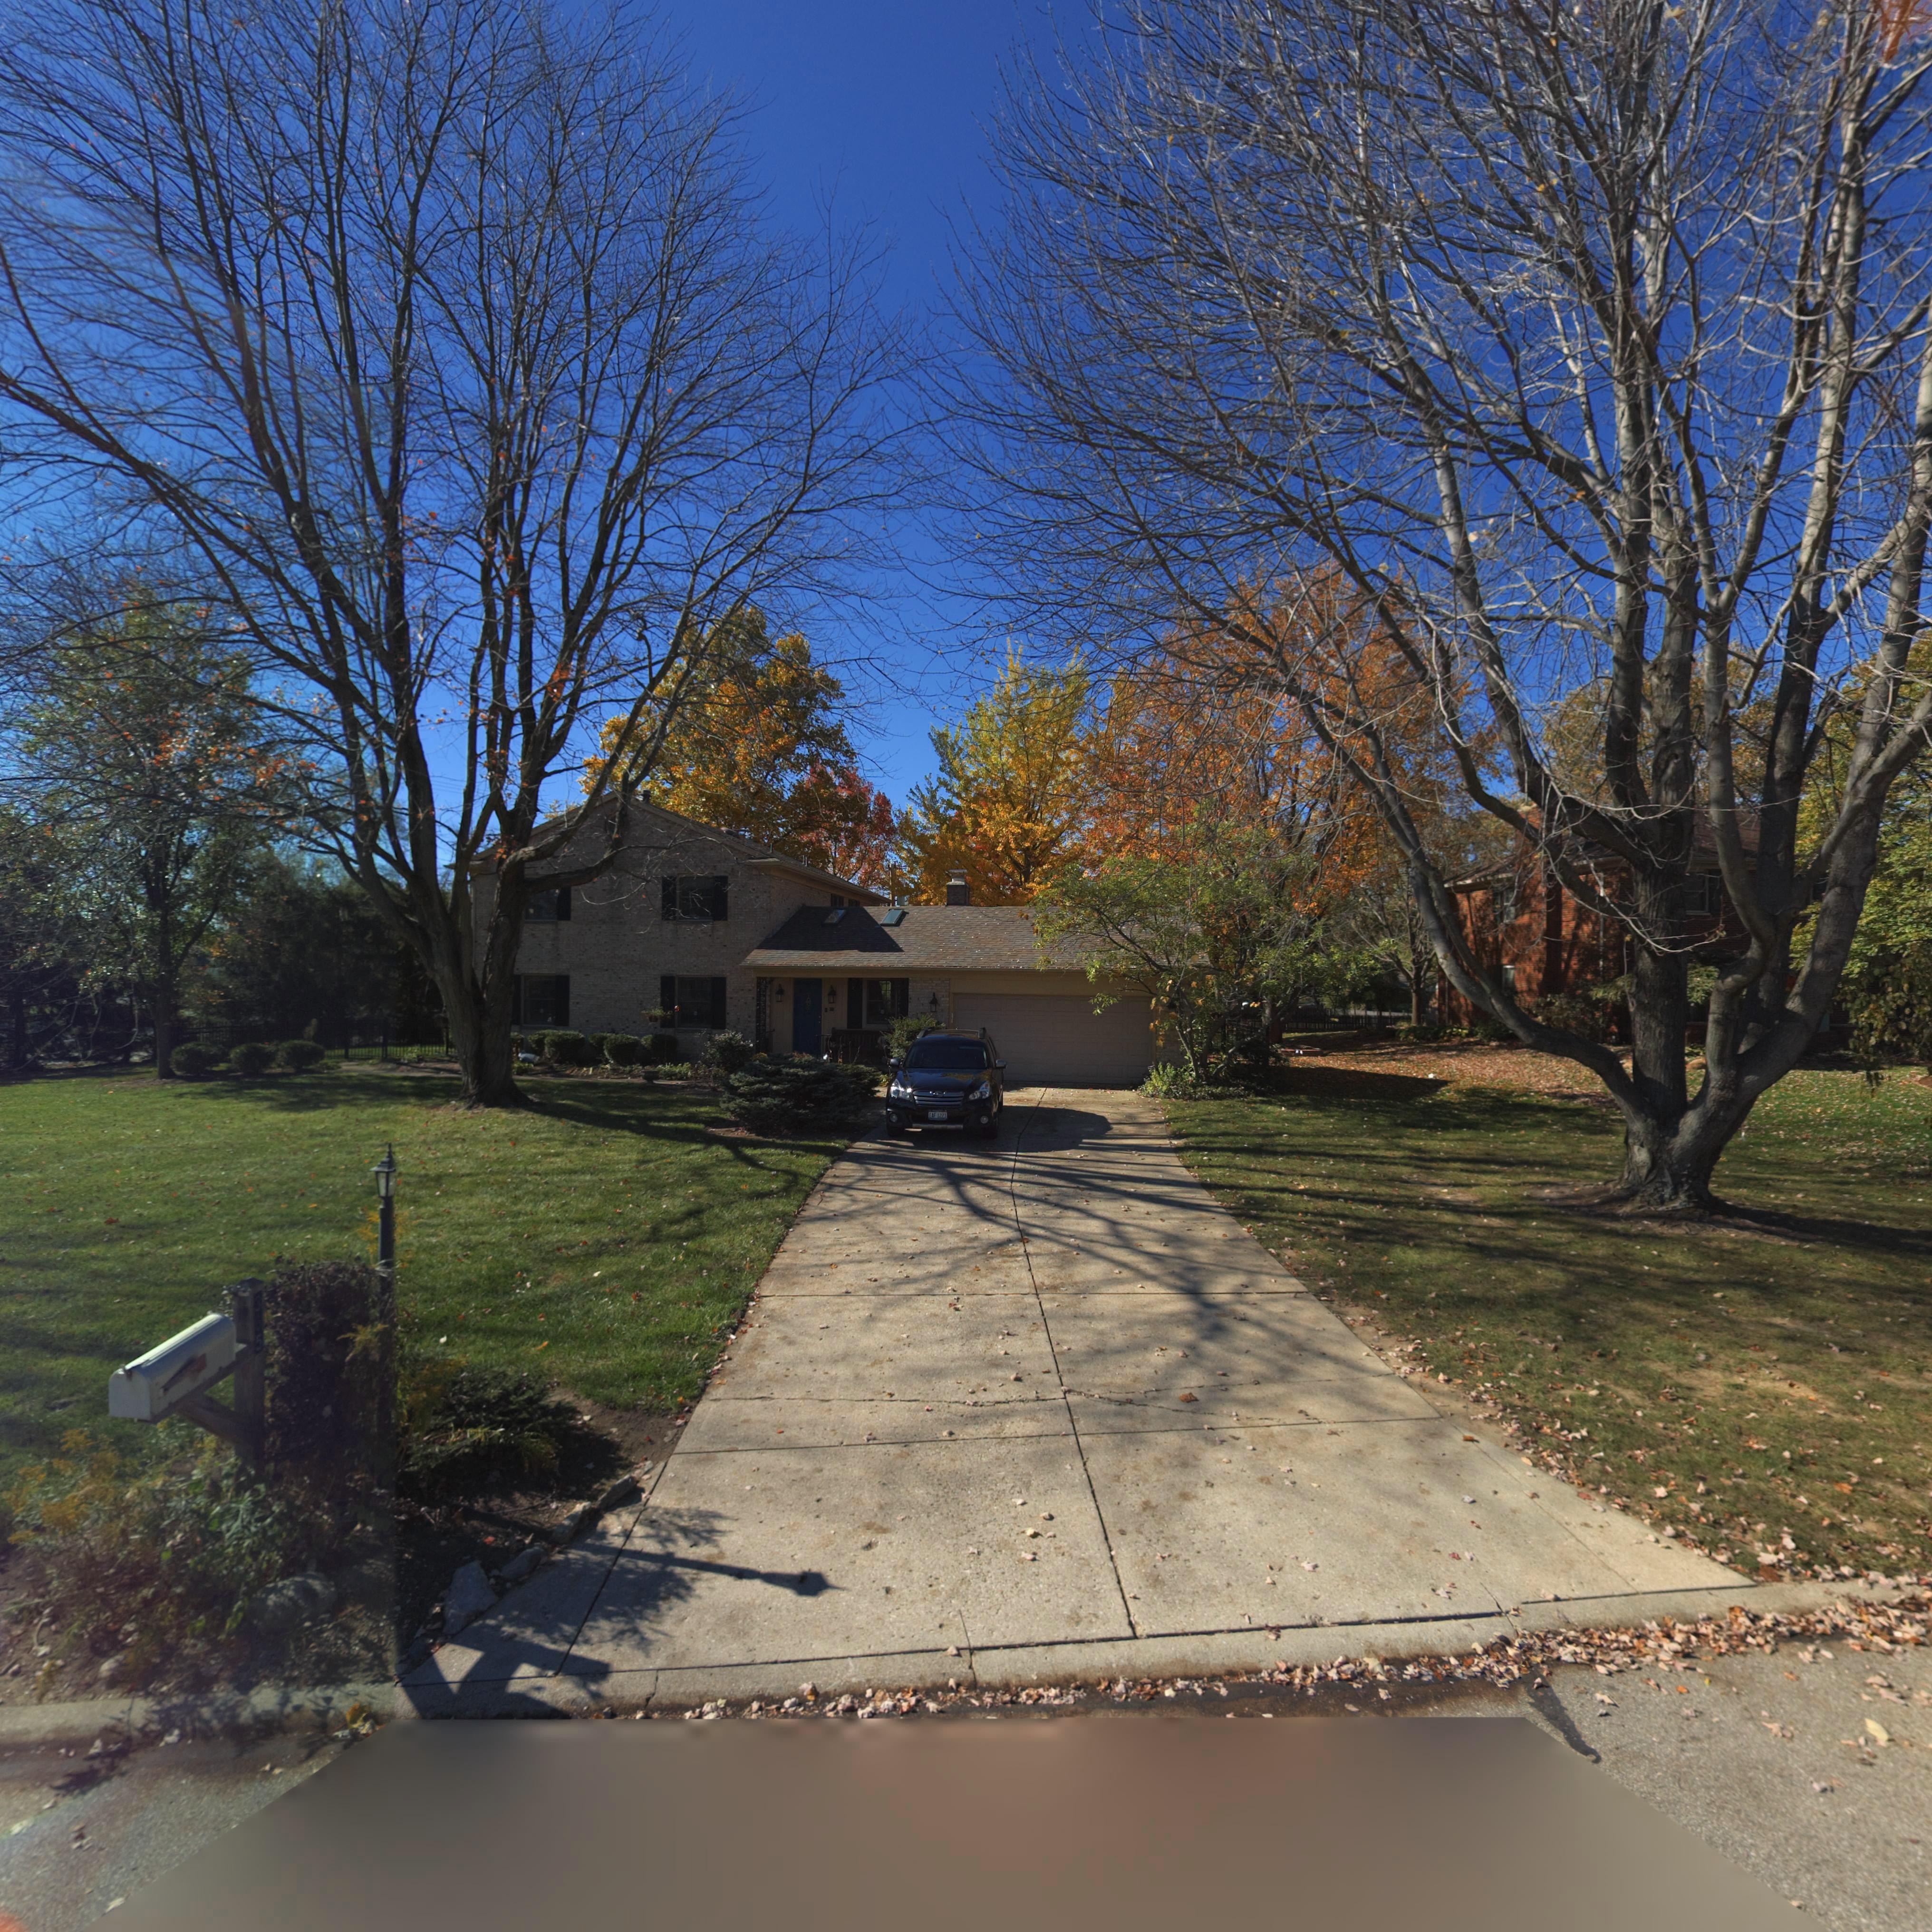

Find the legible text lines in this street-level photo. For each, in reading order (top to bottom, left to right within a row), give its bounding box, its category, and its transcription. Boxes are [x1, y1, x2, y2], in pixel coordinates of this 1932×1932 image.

[253, 1292, 264, 1353] StreetNumber: 3*5